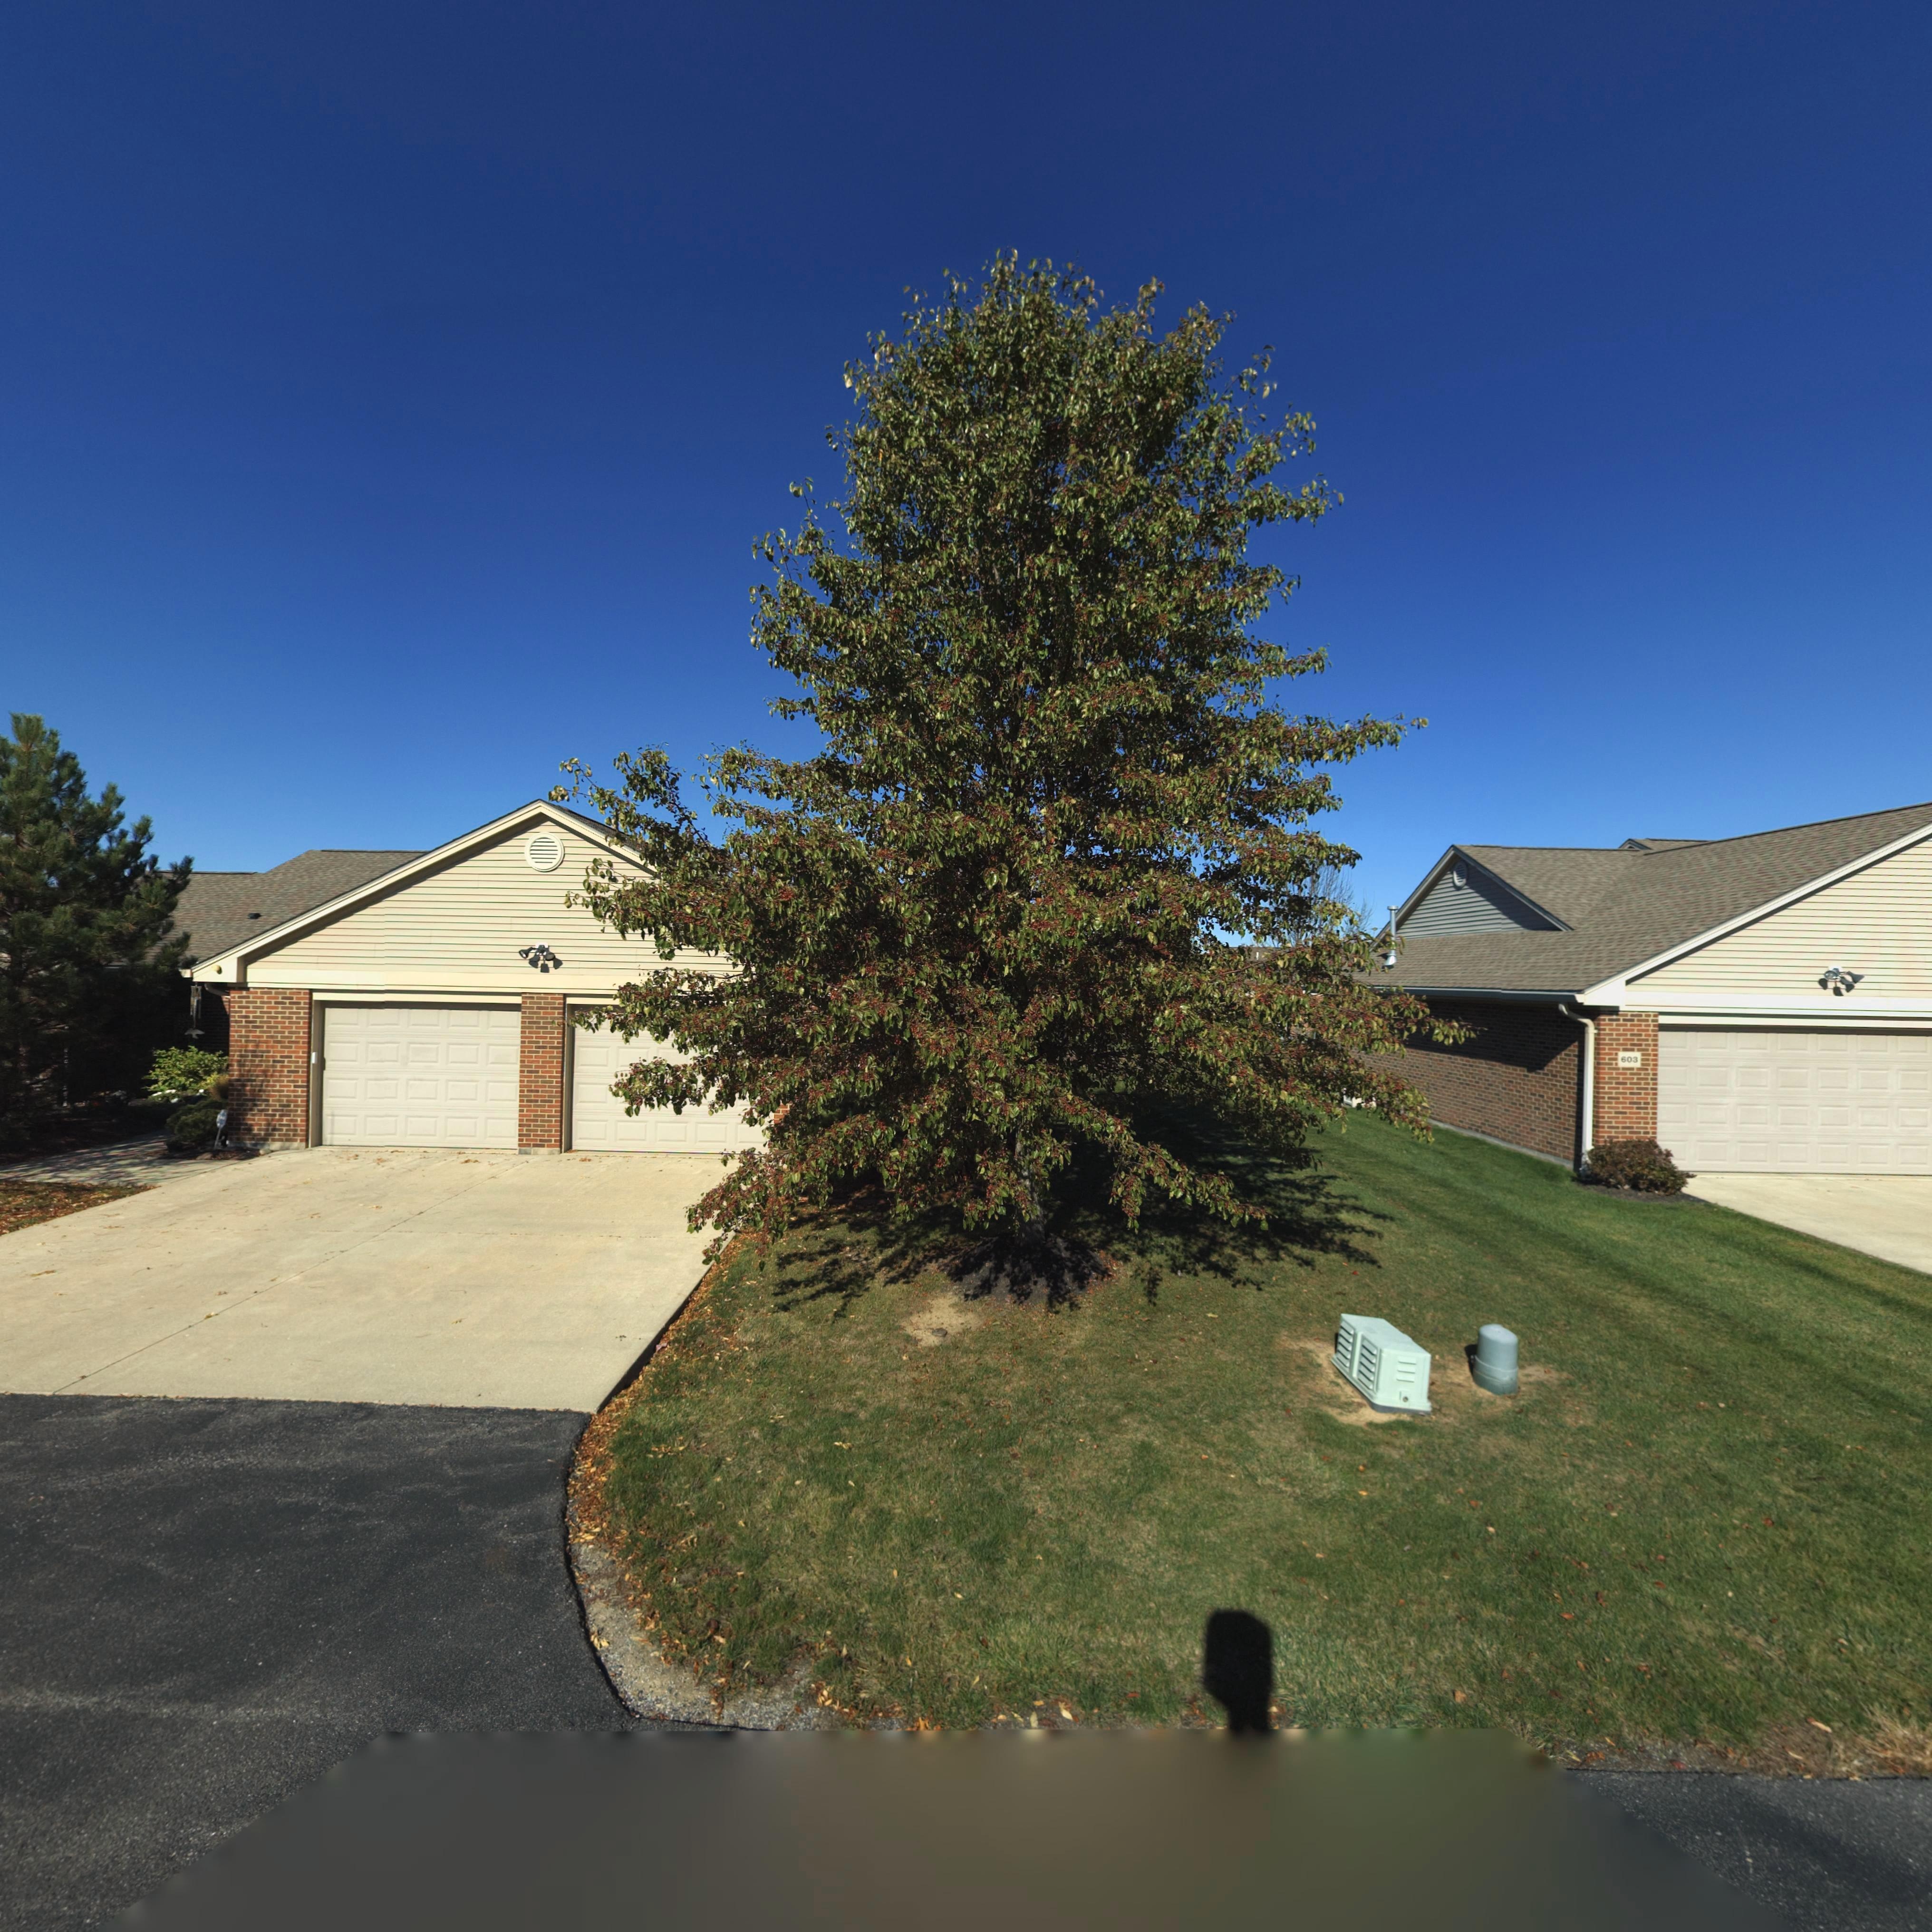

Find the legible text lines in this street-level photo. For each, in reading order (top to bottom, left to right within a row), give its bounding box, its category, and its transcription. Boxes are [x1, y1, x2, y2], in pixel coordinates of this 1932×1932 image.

[1621, 1056, 1639, 1063] StreetNumber: 603